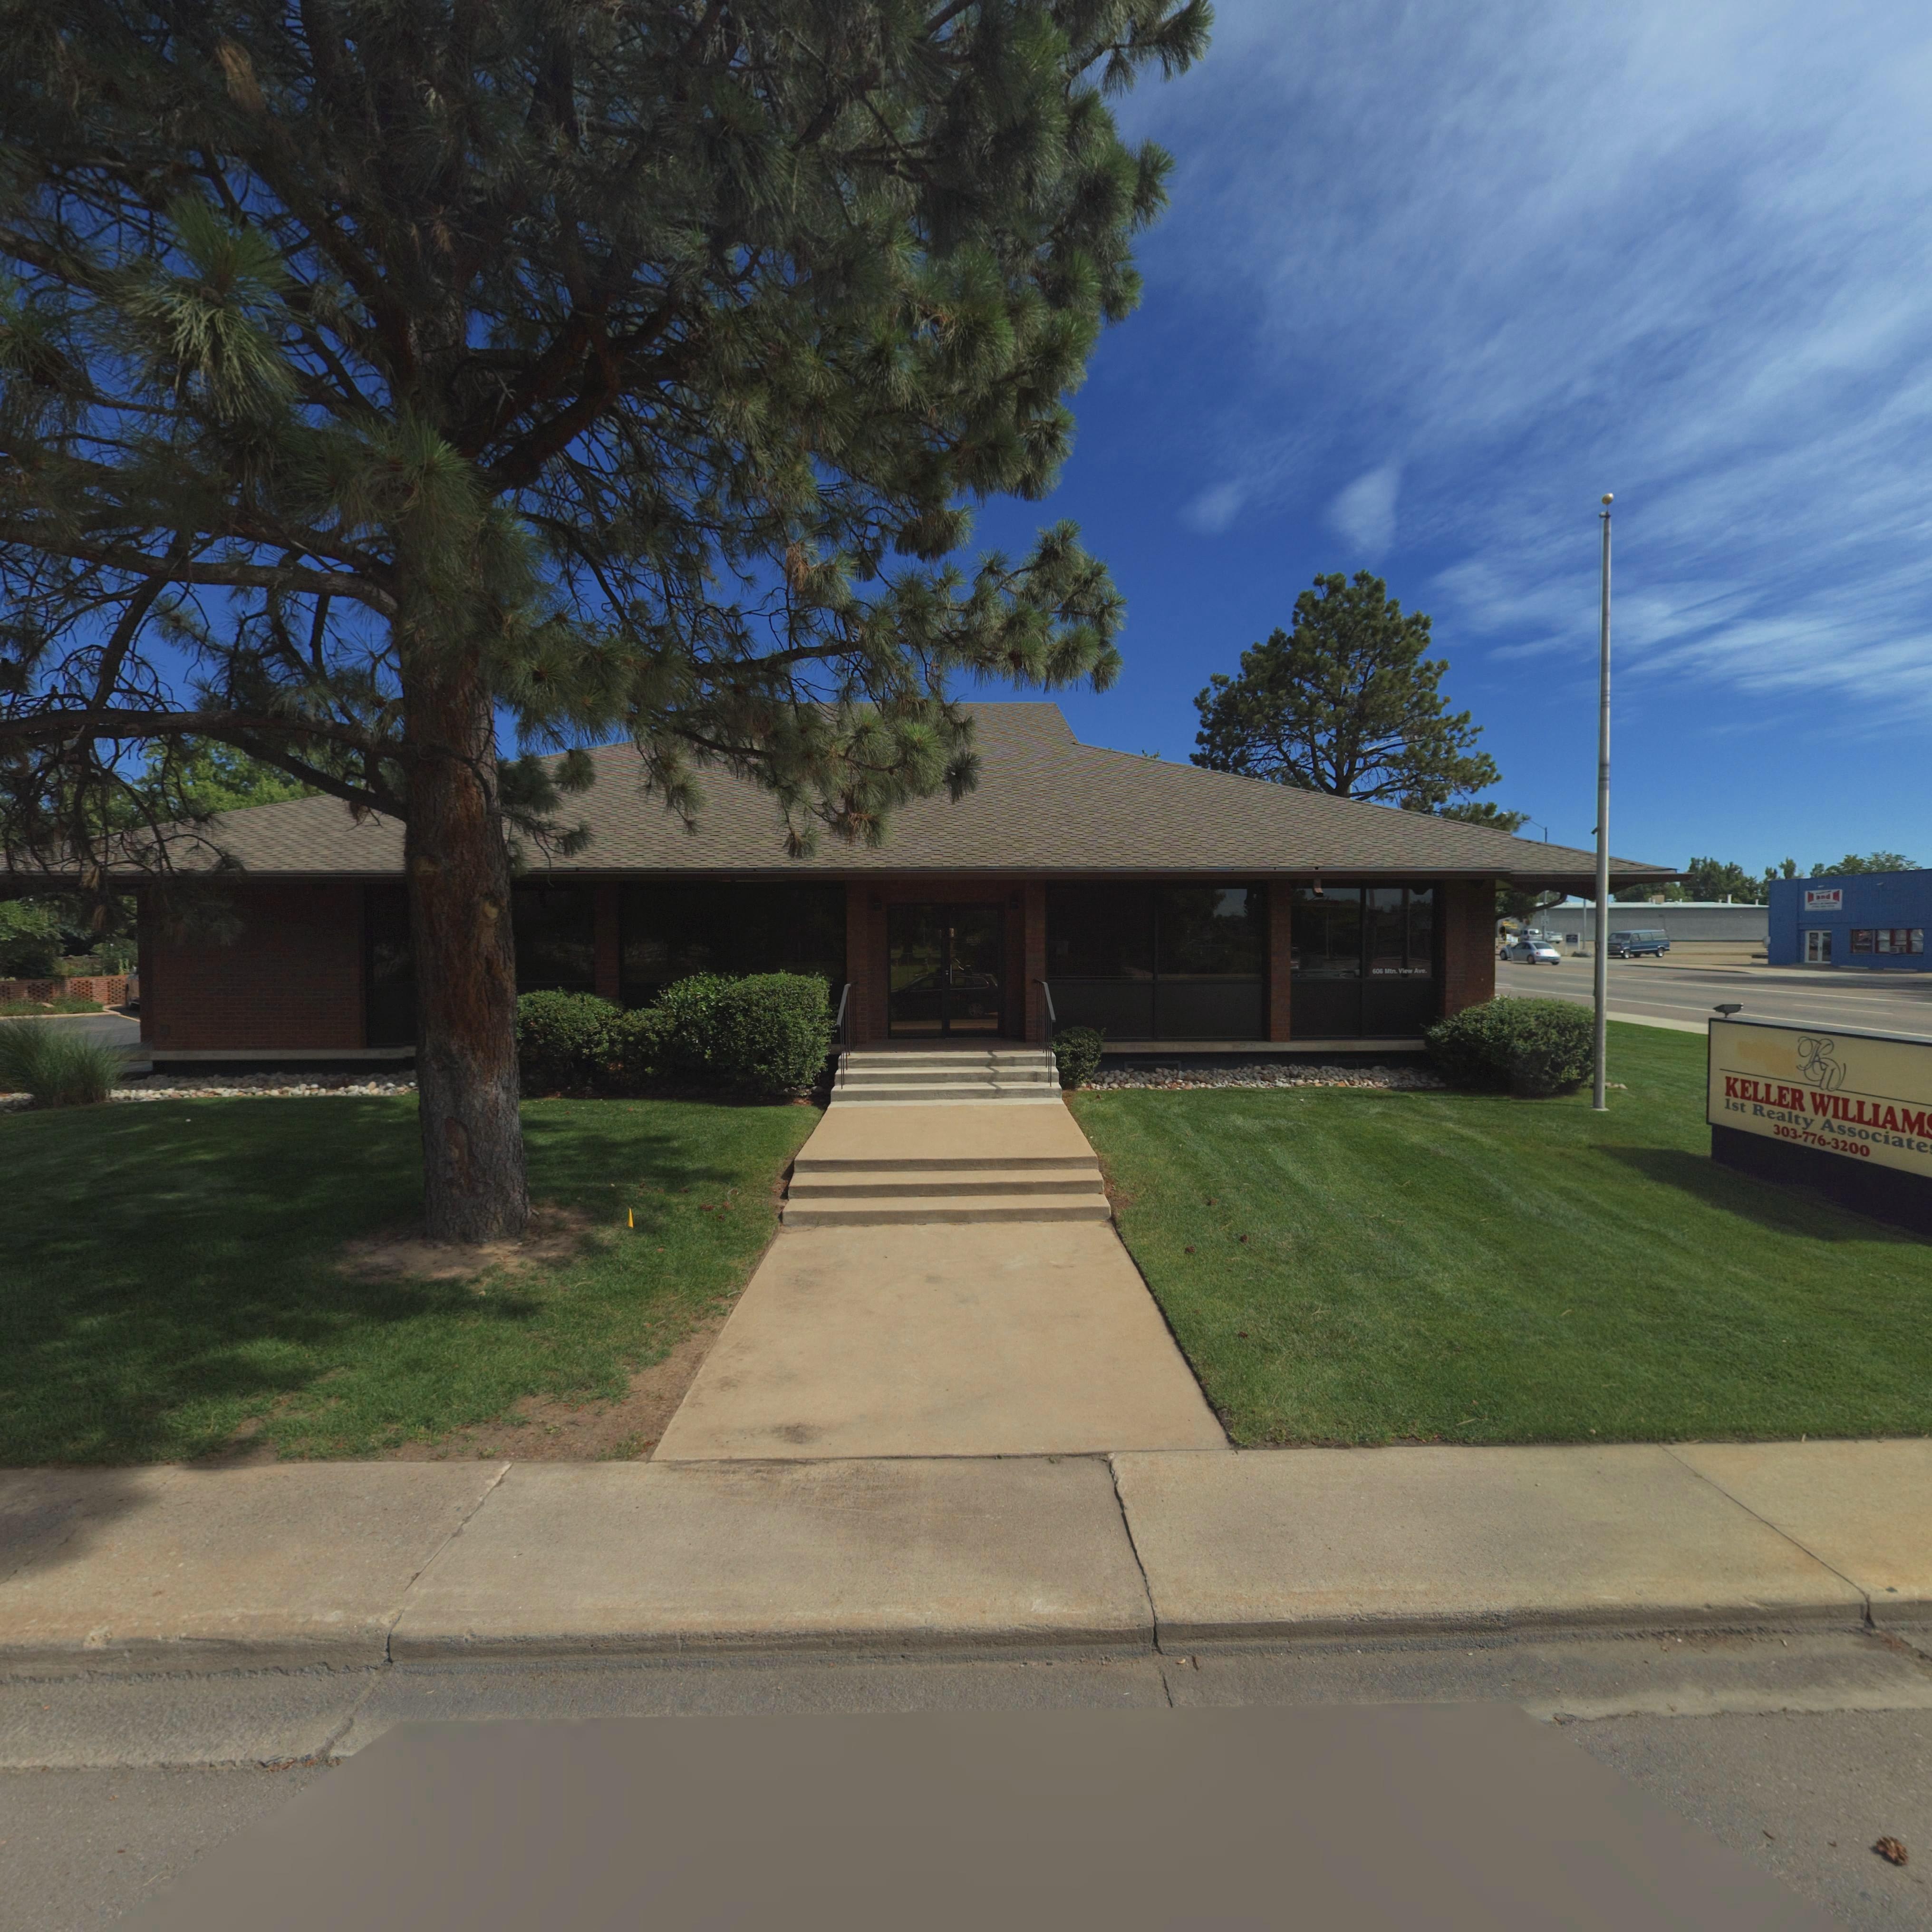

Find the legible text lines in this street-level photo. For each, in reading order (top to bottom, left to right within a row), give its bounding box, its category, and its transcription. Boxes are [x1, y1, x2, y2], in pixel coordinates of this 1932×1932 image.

[1807, 889, 1840, 903] BusinessName: * **d *
[1372, 967, 1383, 974] StreetNumber: 606
[1384, 967, 1426, 974] StreetName: *tn. View Ave
[1724, 1075, 1927, 1139] BusinessName: KELLER WILLIAM
[1723, 1097, 1929, 1153] BusinessName: 1st Realty Associate